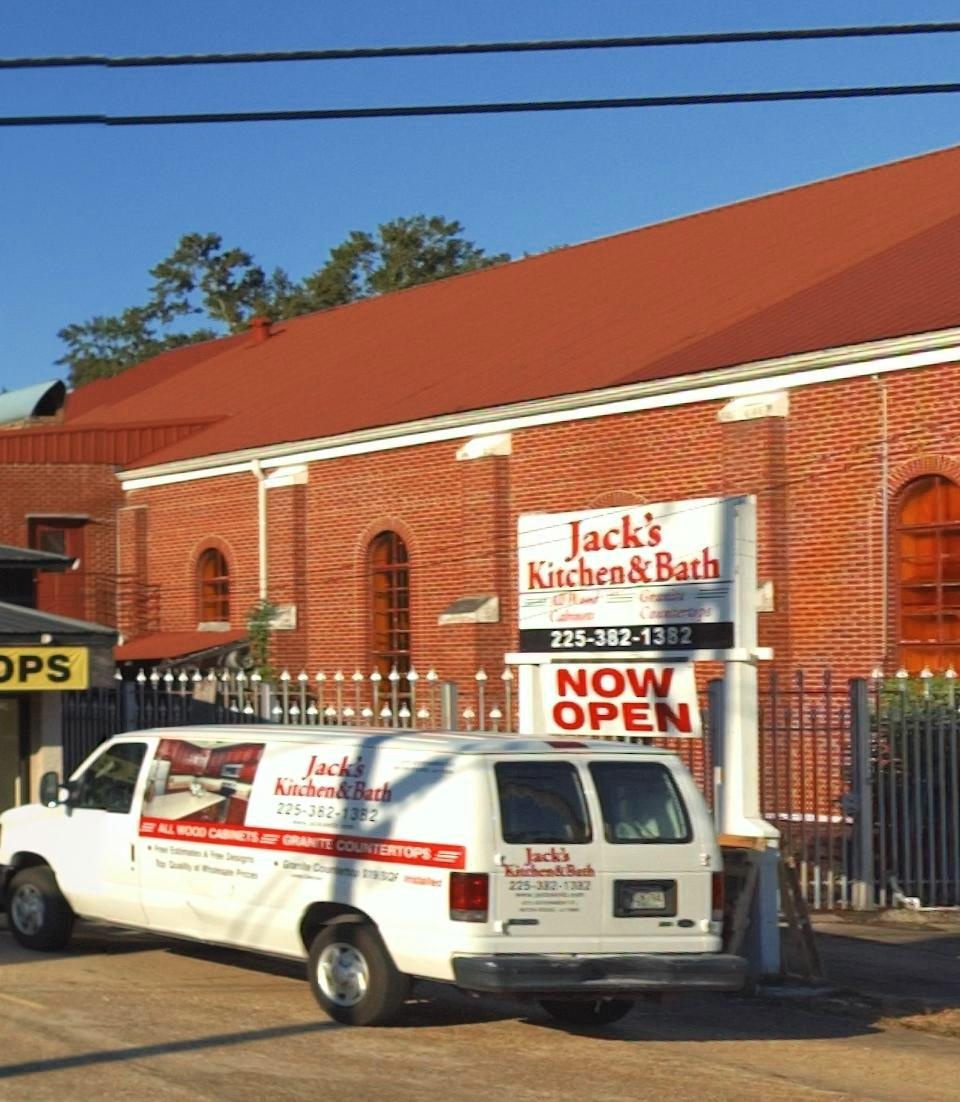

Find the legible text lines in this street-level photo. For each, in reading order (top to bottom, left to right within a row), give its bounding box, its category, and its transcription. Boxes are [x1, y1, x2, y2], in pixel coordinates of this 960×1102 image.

[564, 510, 664, 563] BusinessName: Jack's
[526, 544, 724, 592] BusinessName: Kitchen & Bath
[549, 625, 694, 650] None: 225-382-1382
[18, 653, 71, 684] None: PS
[555, 668, 676, 698] None: NOW
[551, 701, 693, 734] None: OPEN
[299, 753, 368, 781] None: Jack's
[270, 775, 393, 804] None: Kitchen & Bath
[275, 800, 380, 825] None: 225-382-1382
[155, 821, 434, 862] None: ALL WOOD CABINETS * GRANITE COUNTERTOPS
[523, 846, 571, 866] None: Jack's
[502, 862, 597, 879] None: Kitchen & Bath
[507, 879, 592, 892] None: 225-382-1382